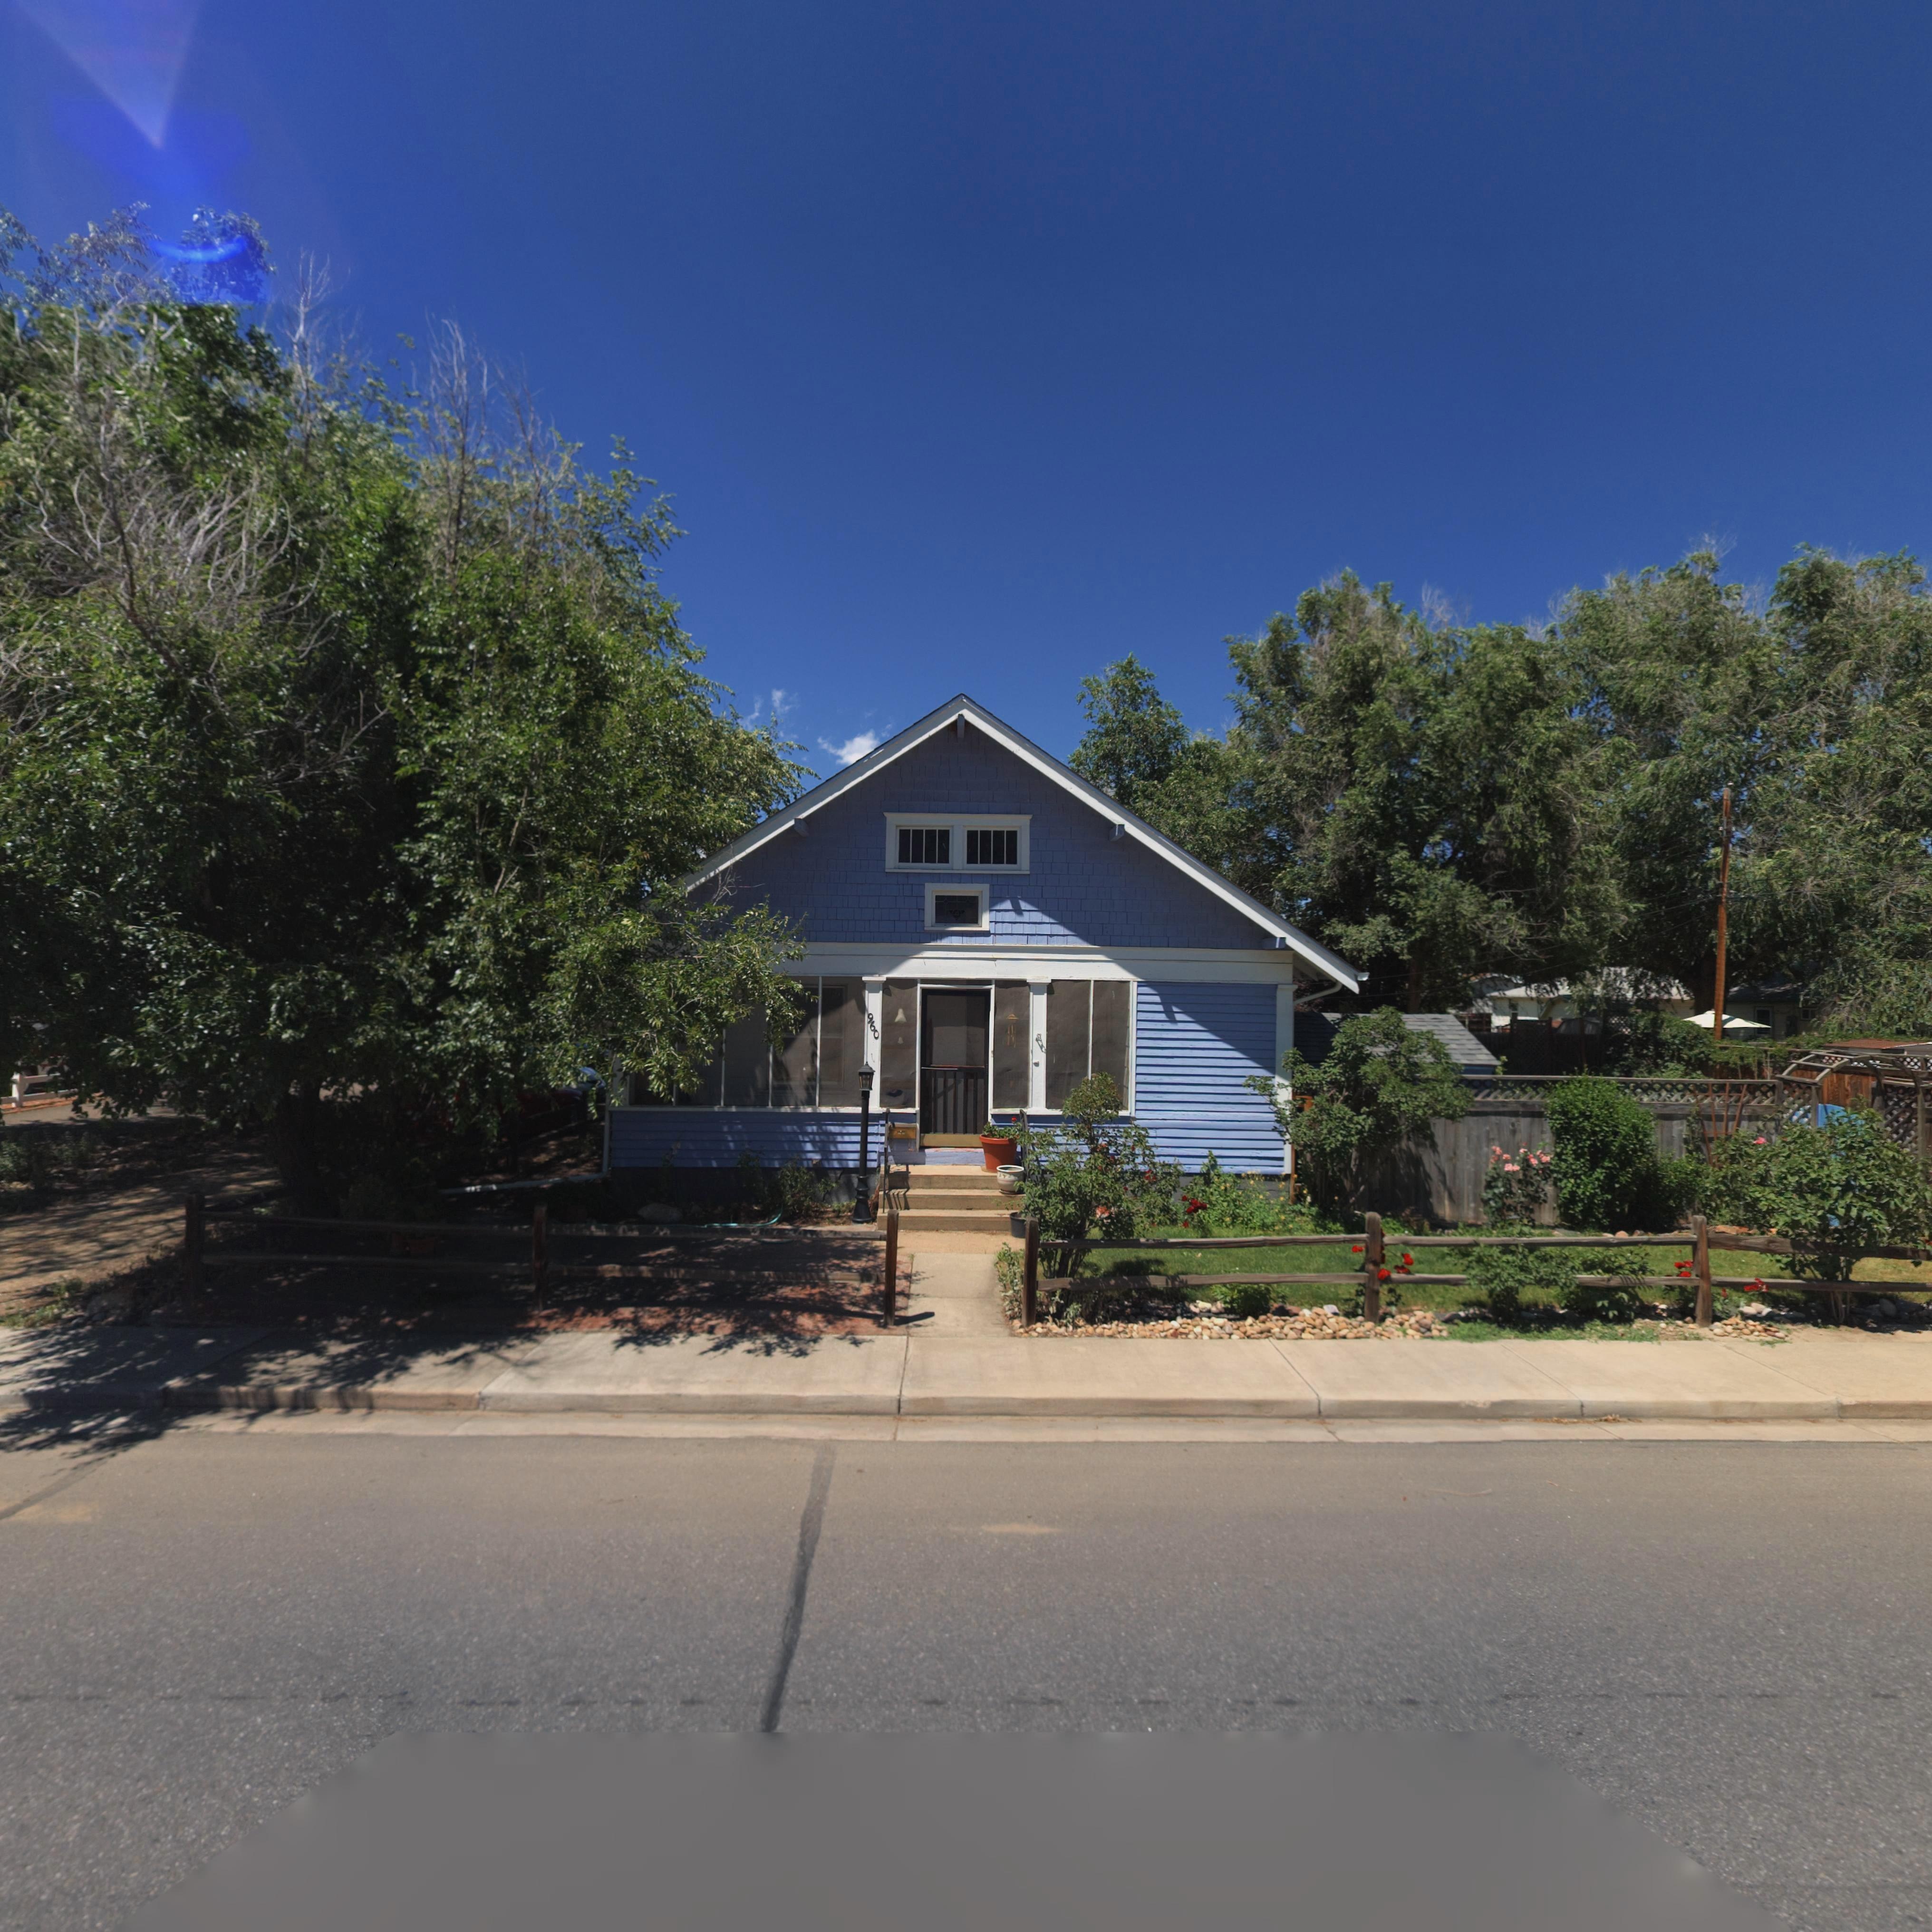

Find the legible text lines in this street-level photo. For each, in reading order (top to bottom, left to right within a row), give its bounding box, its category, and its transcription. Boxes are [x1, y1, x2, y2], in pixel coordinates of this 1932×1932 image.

[867, 1012, 879, 1039] StreetNumber: 960